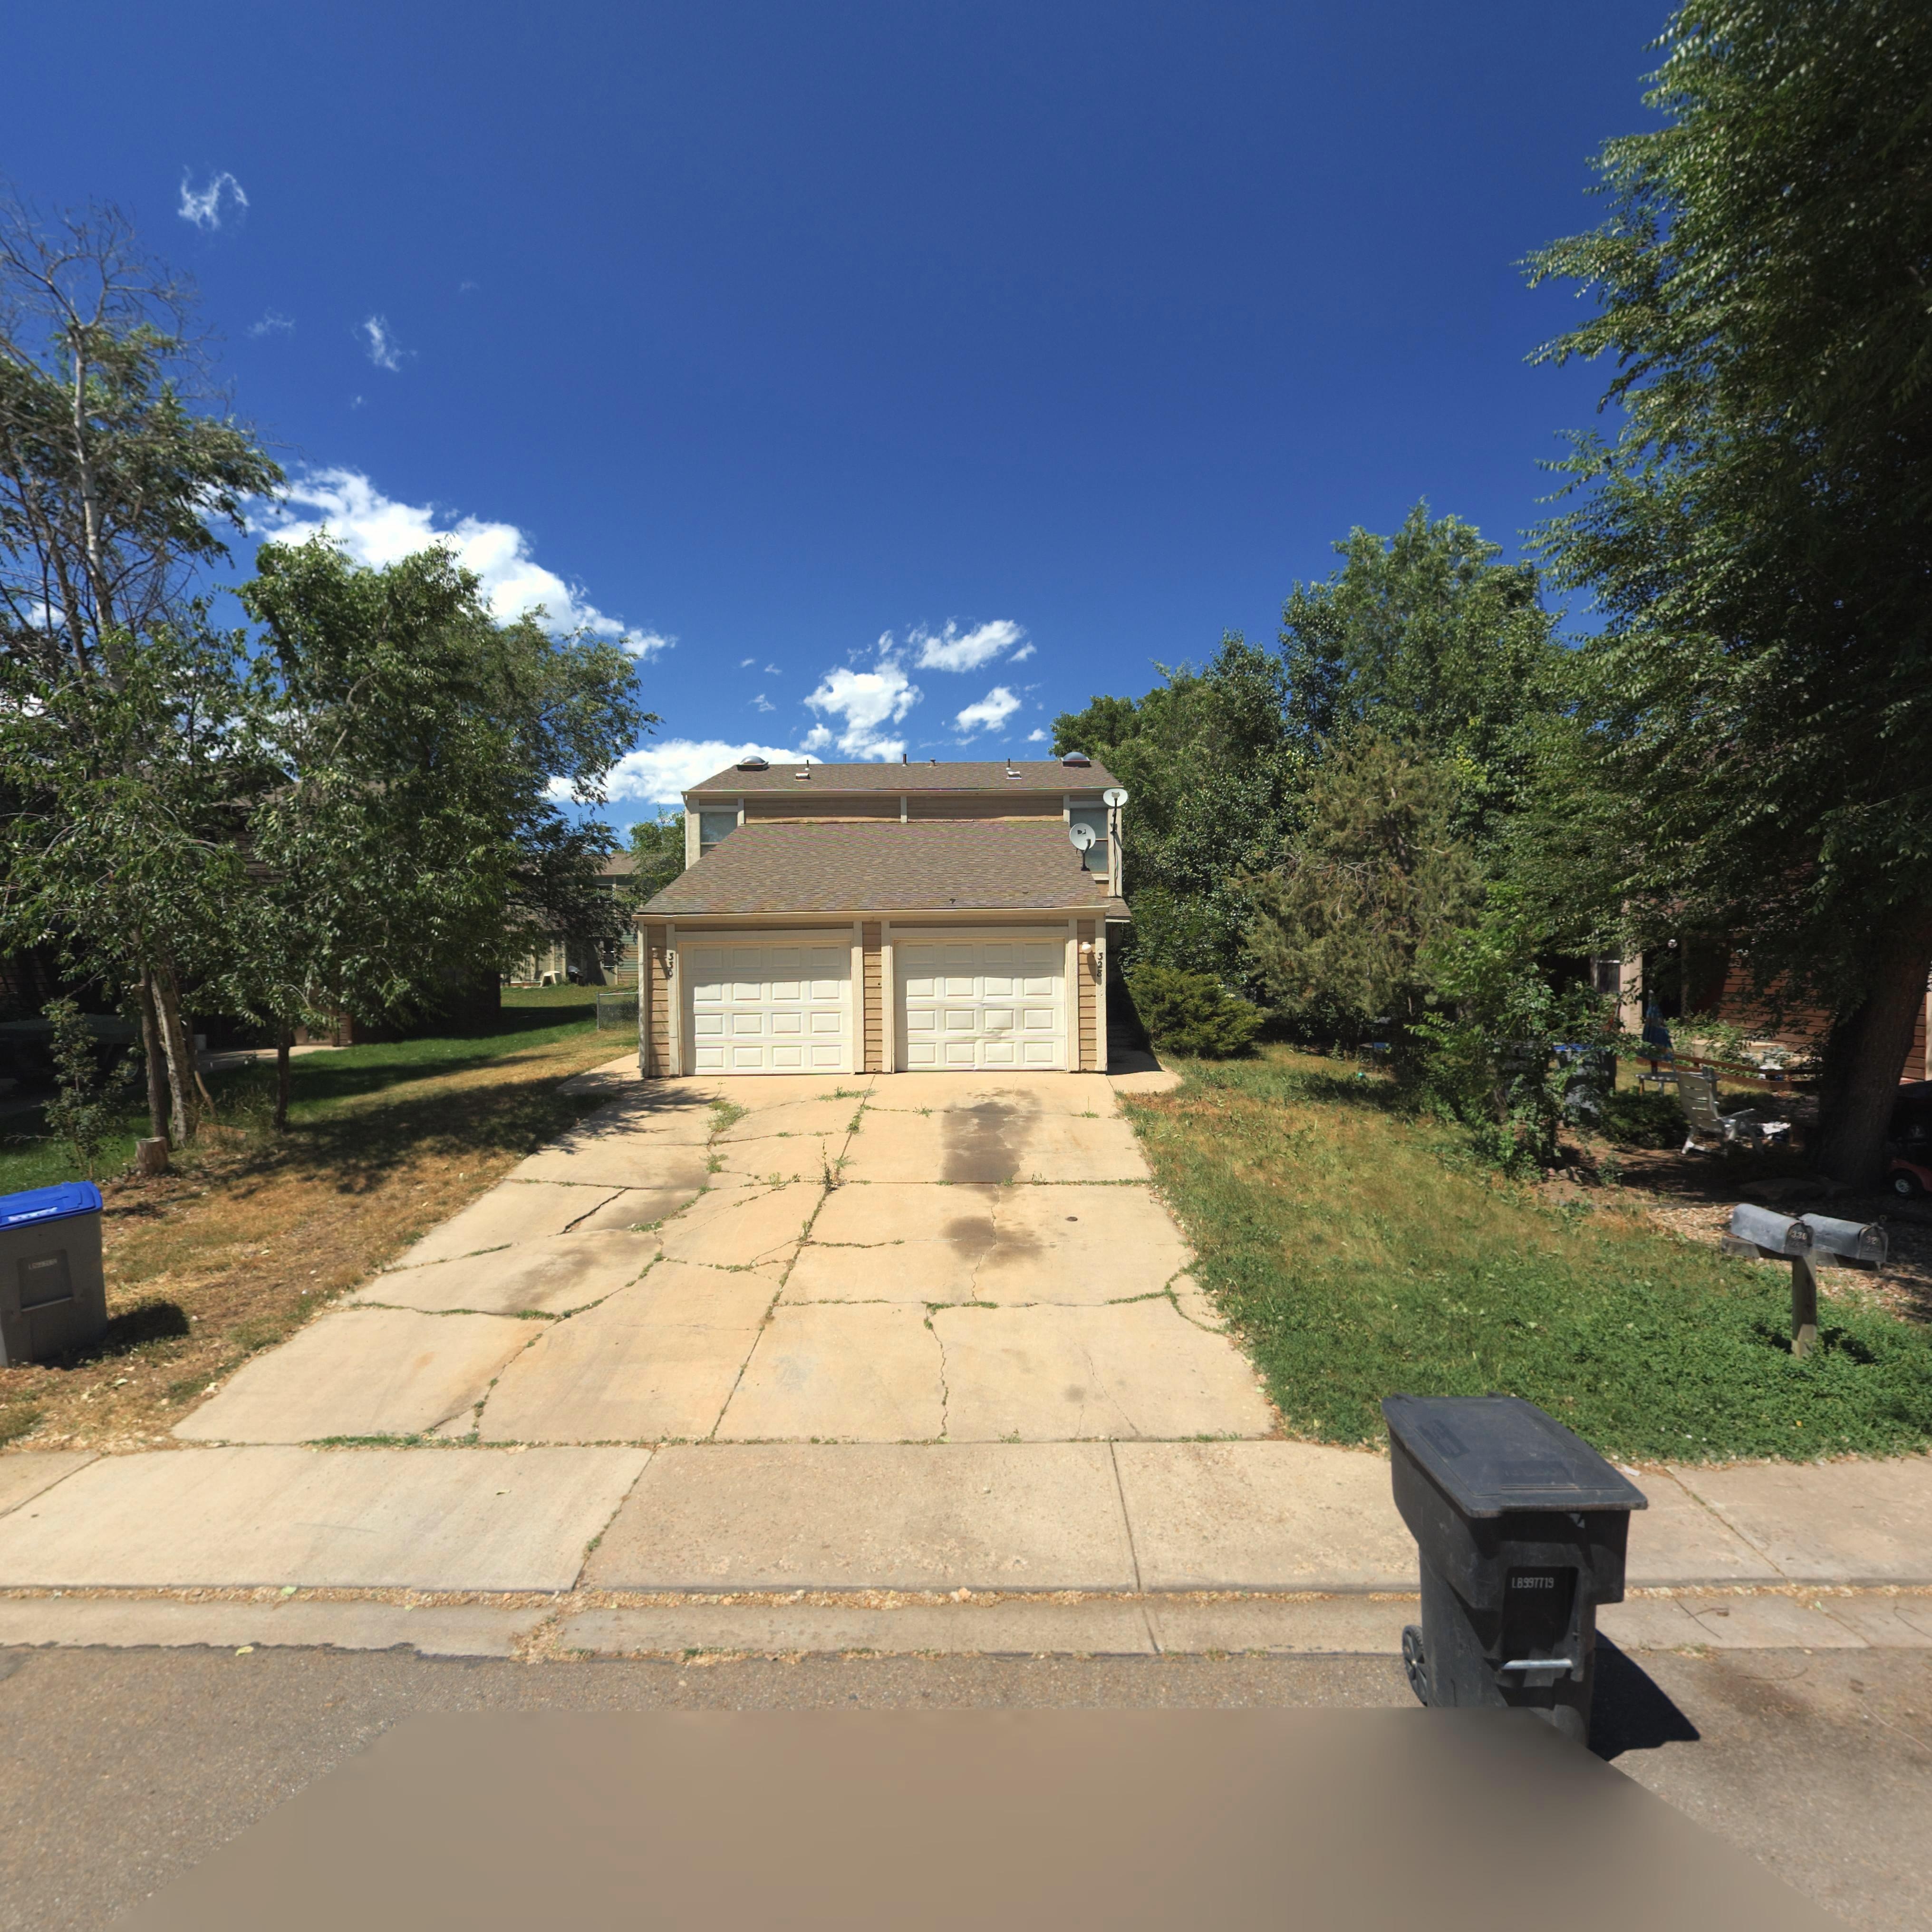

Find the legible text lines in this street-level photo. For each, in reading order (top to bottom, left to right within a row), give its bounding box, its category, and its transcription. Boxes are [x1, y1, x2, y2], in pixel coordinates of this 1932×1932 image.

[667, 952, 674, 977] StreetNumber: 330
[1096, 951, 1103, 977] StreetNumber: 328
[1790, 1230, 1808, 1240] StreetNumber: 330
[1865, 1235, 1880, 1245] StreetNumber: 32*